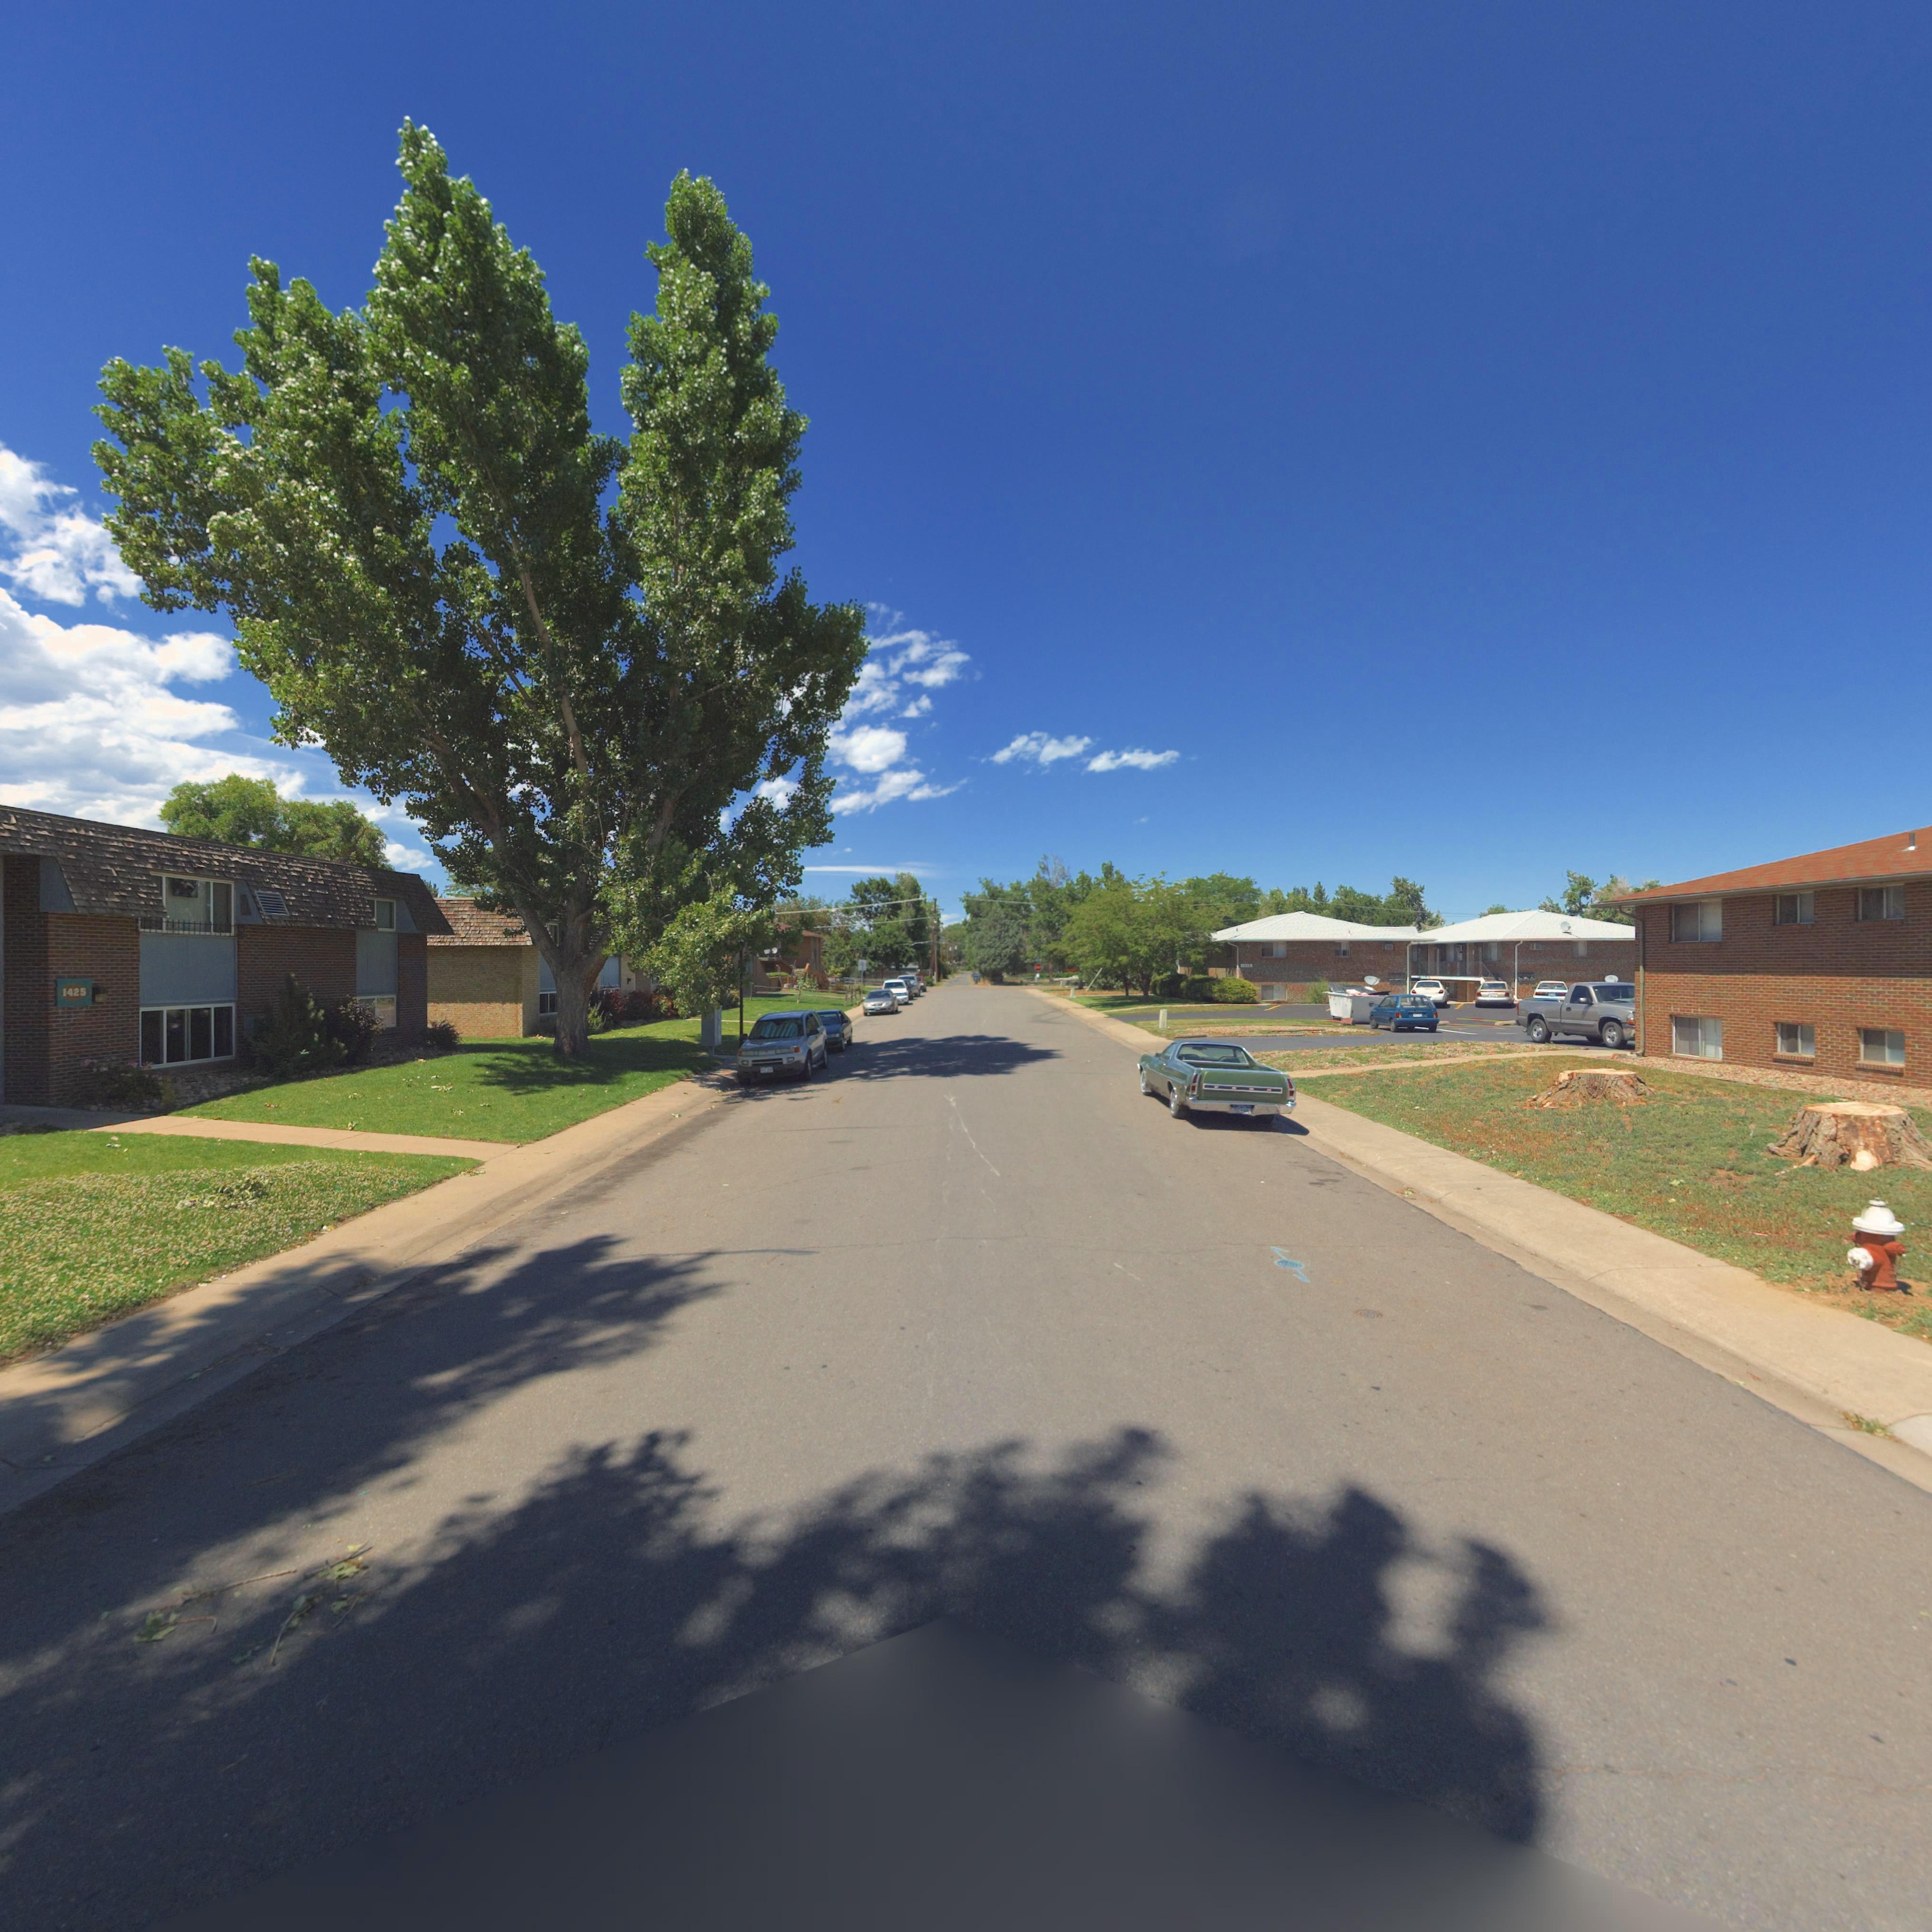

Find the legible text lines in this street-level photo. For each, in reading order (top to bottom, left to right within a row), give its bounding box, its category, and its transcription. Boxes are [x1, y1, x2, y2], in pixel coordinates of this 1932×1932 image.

[1241, 964, 1251, 967] StreetNumber: 1***
[62, 987, 86, 996] StreetNumber: 1425